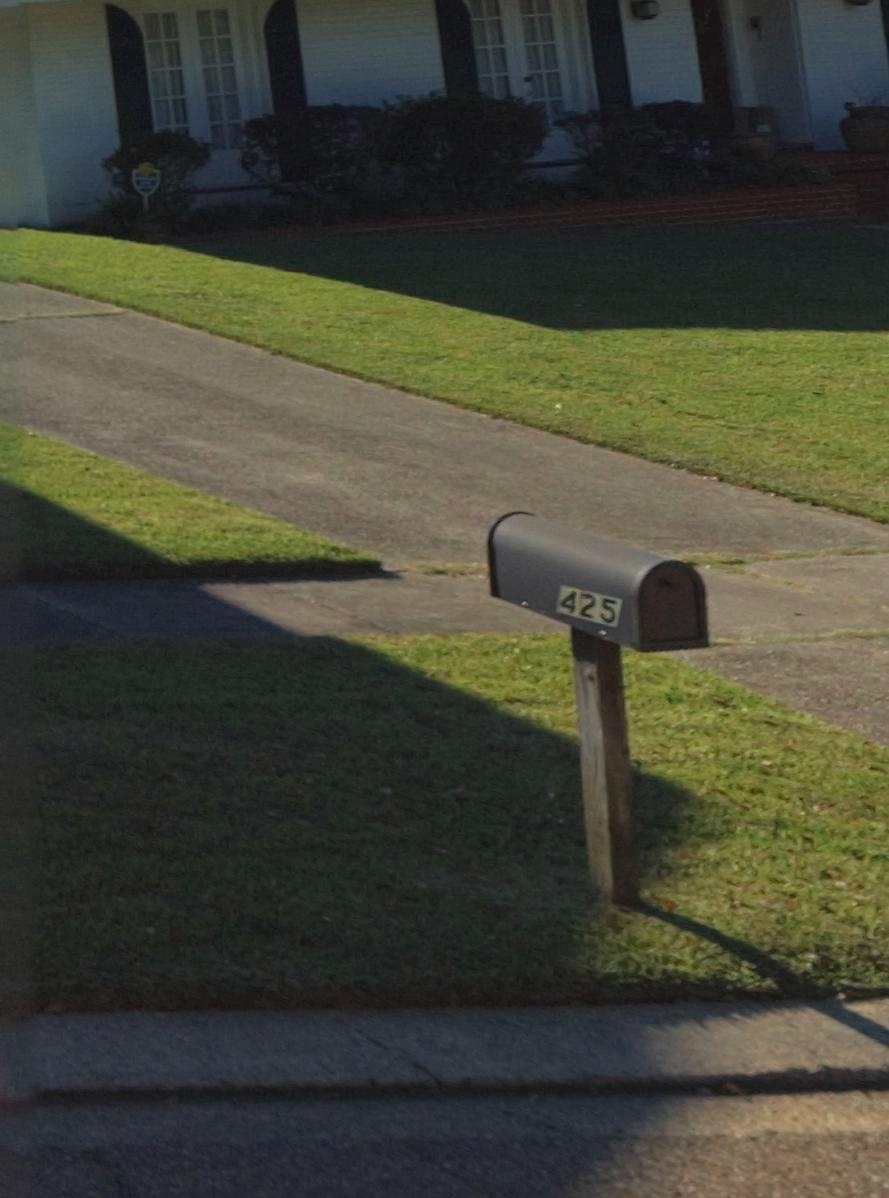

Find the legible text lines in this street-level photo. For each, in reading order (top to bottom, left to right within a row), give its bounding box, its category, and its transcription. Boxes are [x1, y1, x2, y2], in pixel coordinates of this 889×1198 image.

[558, 589, 622, 628] StreetNumber: 425